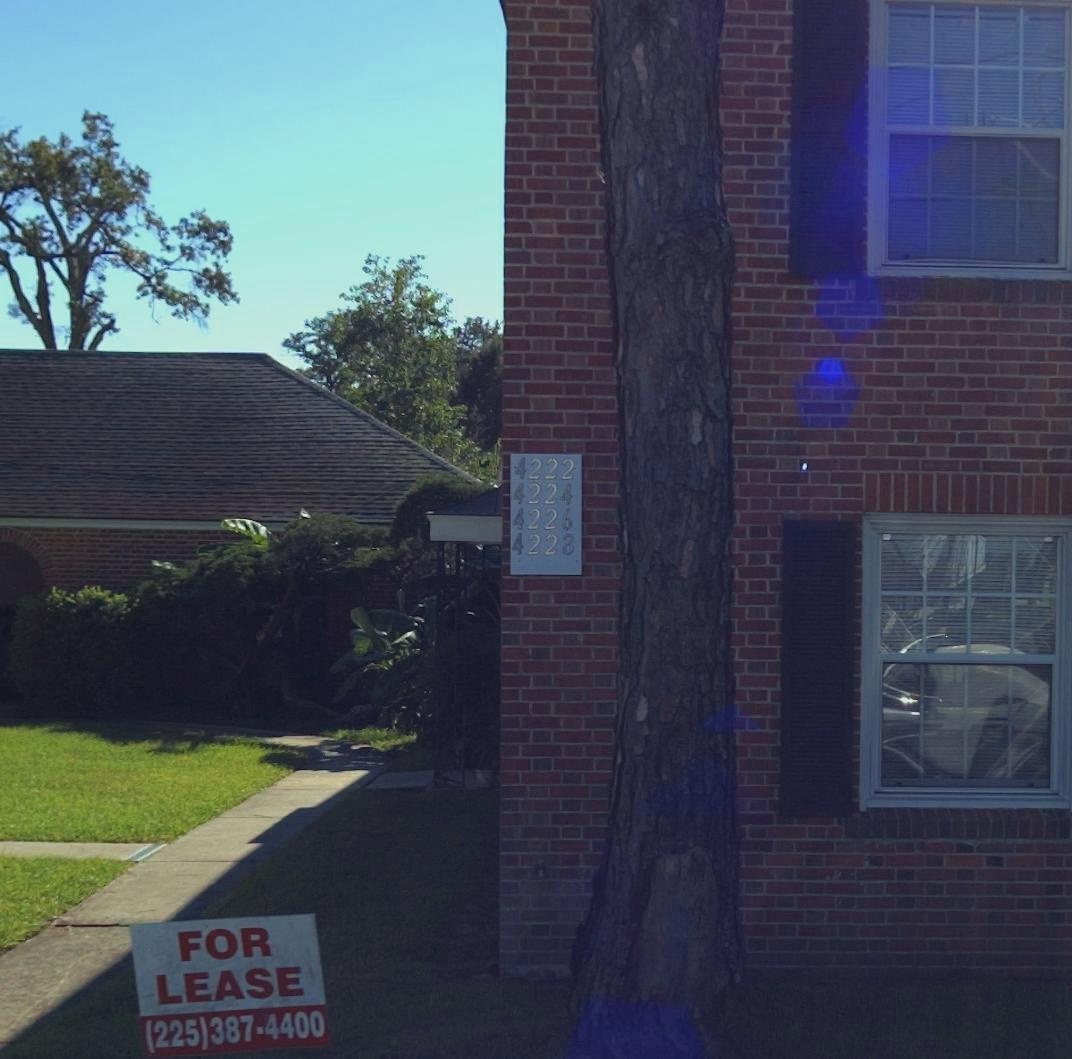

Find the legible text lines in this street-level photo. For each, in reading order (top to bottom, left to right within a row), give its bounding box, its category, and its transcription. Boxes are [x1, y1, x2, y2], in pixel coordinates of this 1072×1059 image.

[511, 454, 577, 482] StreetNumber: 4222
[509, 480, 576, 508] StreetNumber: 4224
[510, 506, 576, 532] StreetNumber: 4226
[509, 531, 577, 558] StreetNumber: 4228
[174, 925, 276, 965] None: FOR
[153, 963, 308, 1010] None: LEASE
[142, 1006, 327, 1056] None: (225(387-4400